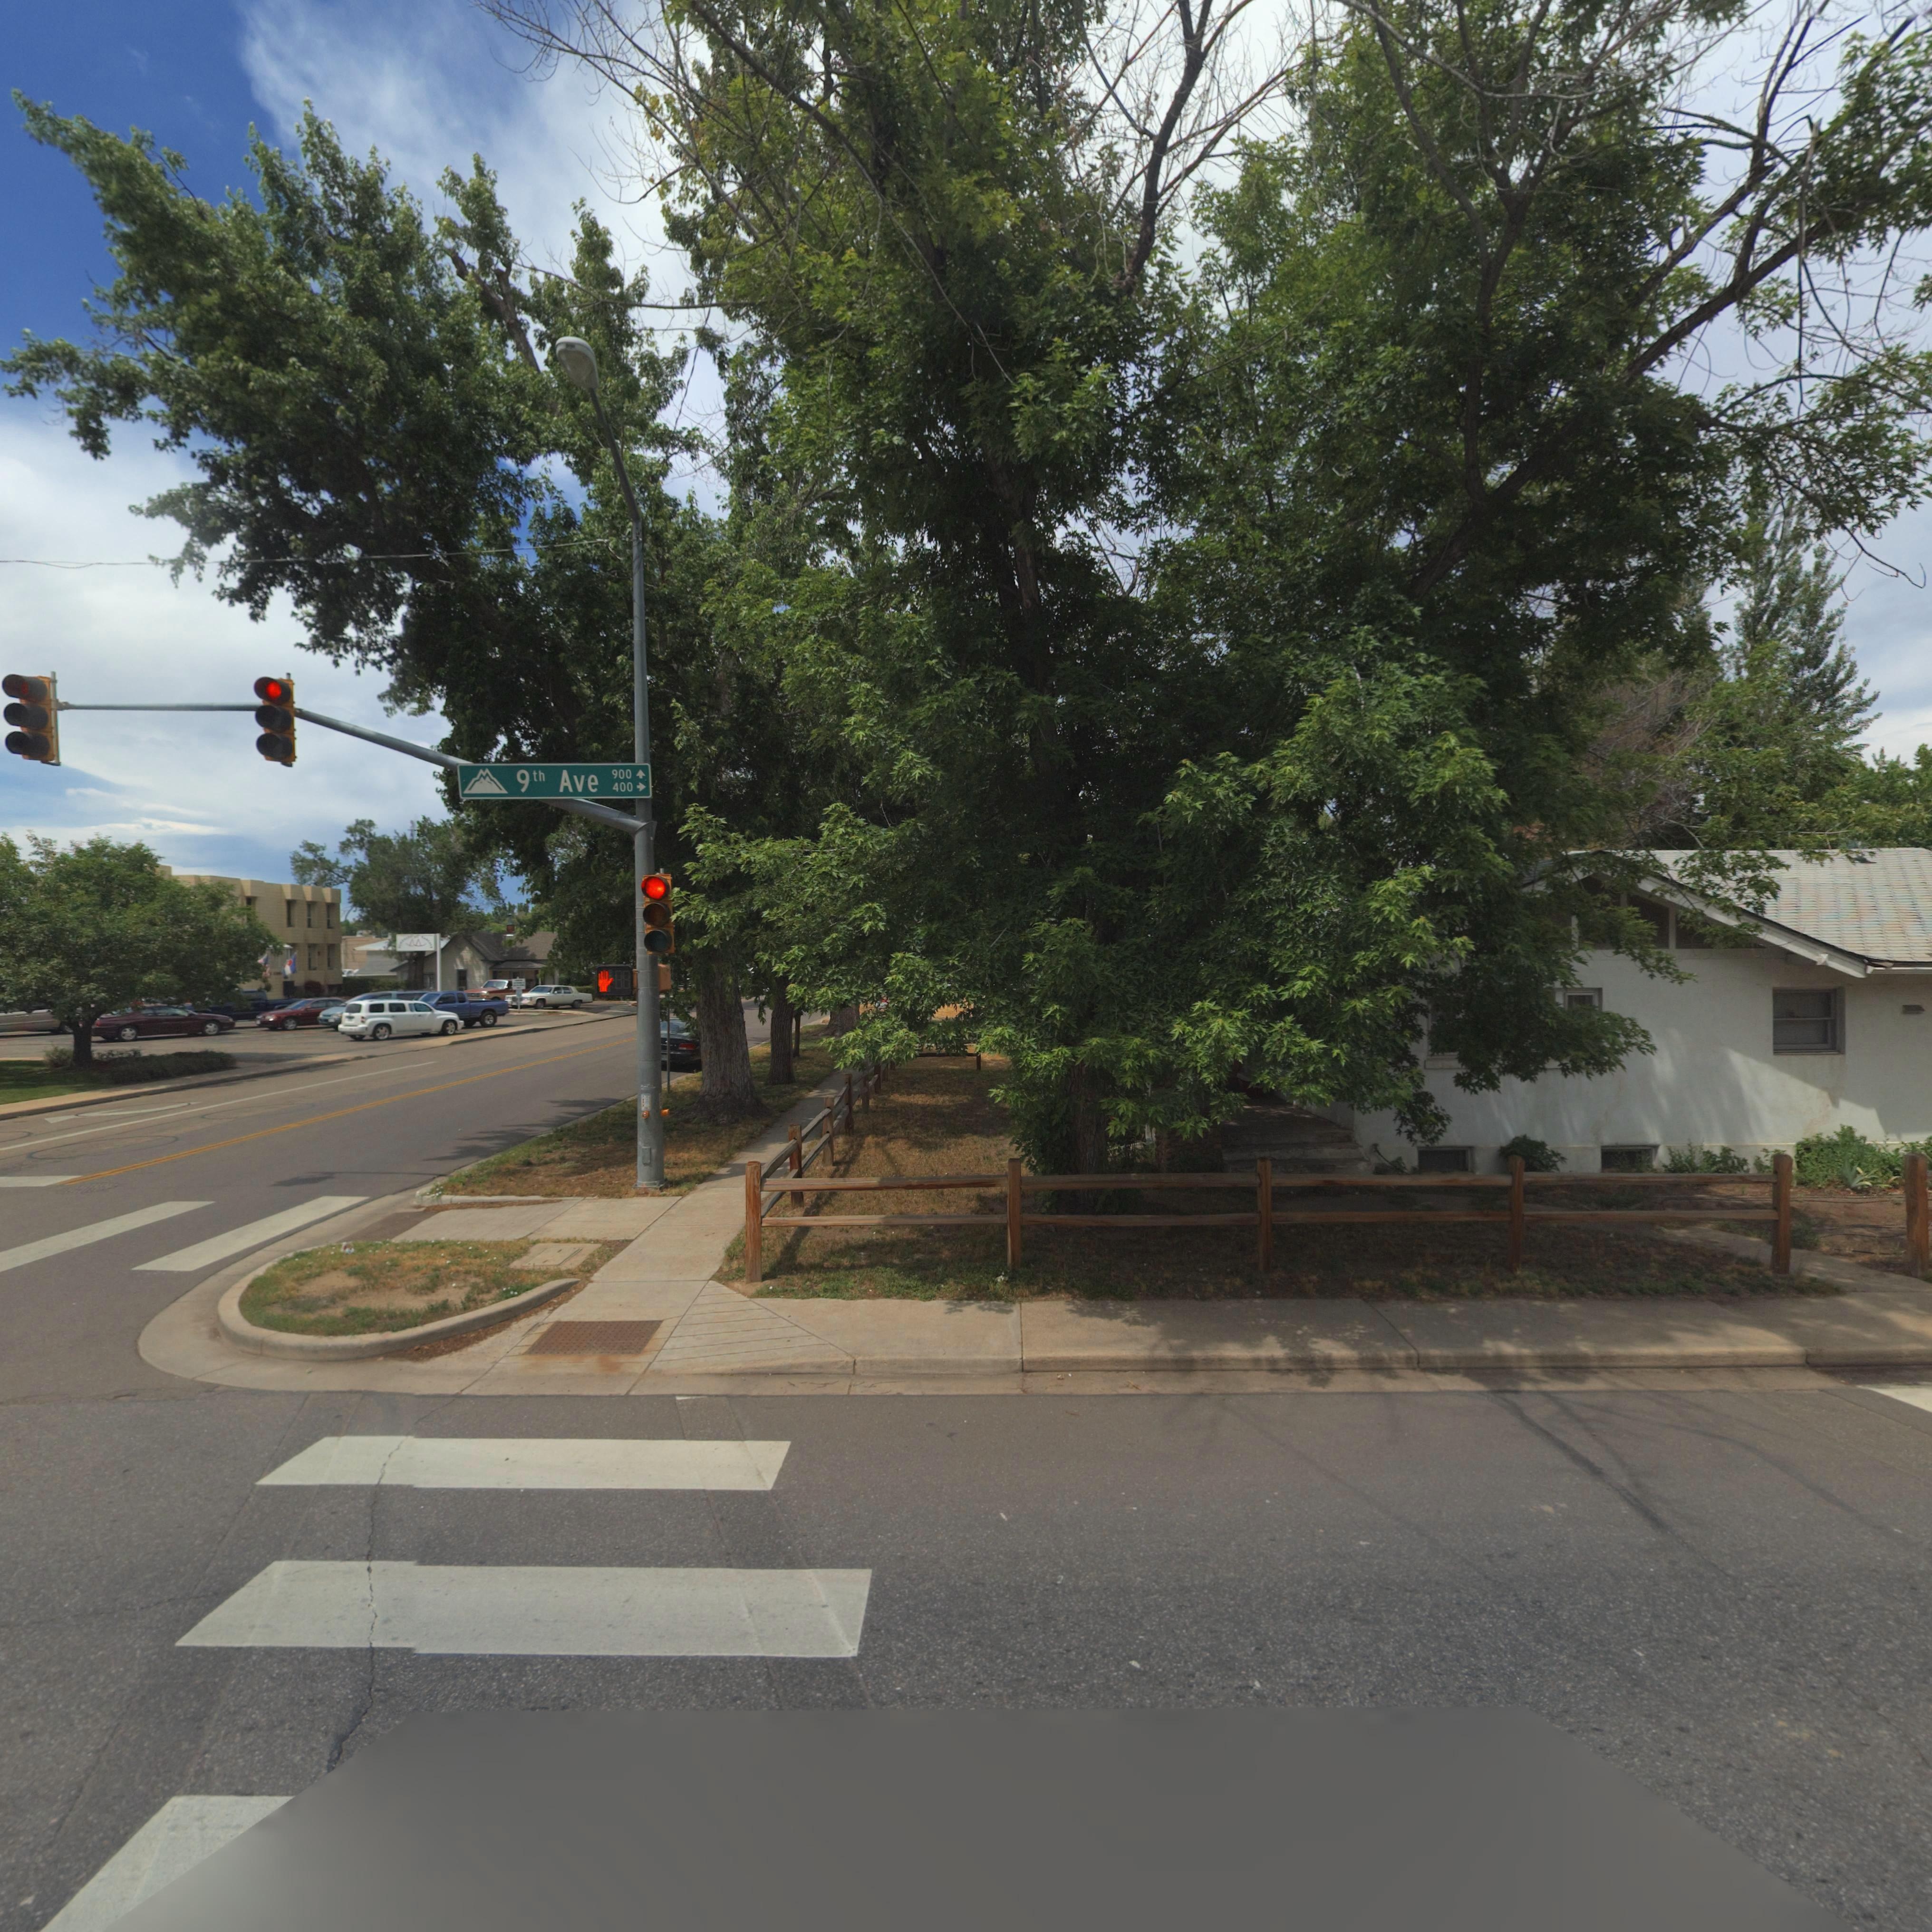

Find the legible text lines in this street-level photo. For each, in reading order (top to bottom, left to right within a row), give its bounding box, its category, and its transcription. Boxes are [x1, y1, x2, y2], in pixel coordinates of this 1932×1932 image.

[611, 769, 631, 779] StreetNumberRange: 900
[516, 769, 599, 793] StreetName: 9th Ave
[612, 782, 646, 792] StreetNumberRange: 400->